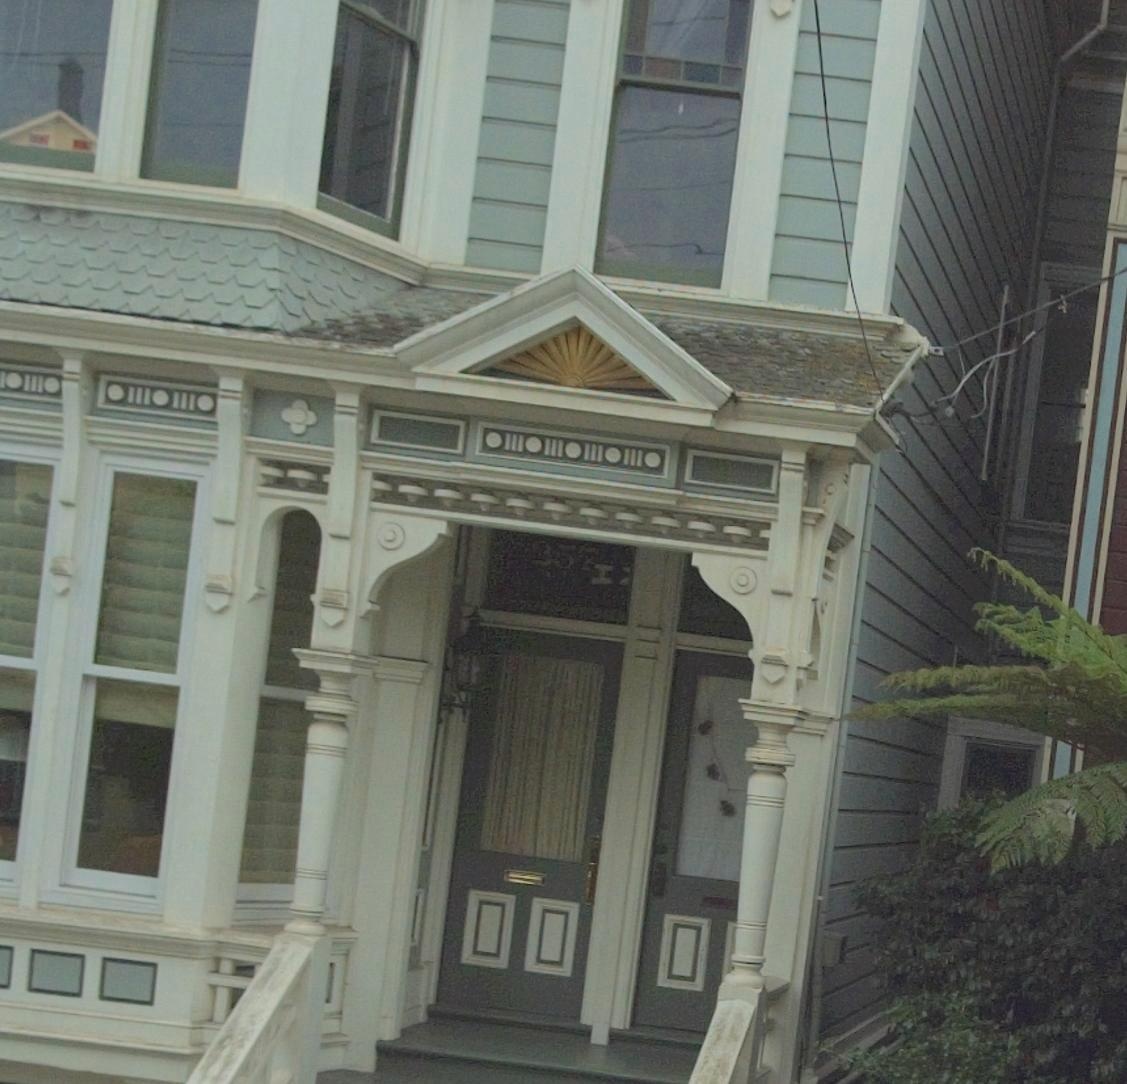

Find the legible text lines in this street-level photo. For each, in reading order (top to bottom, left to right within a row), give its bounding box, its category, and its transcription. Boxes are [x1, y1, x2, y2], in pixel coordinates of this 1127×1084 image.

[529, 539, 600, 573] StreetNumber: 257
[590, 564, 614, 586] None: I